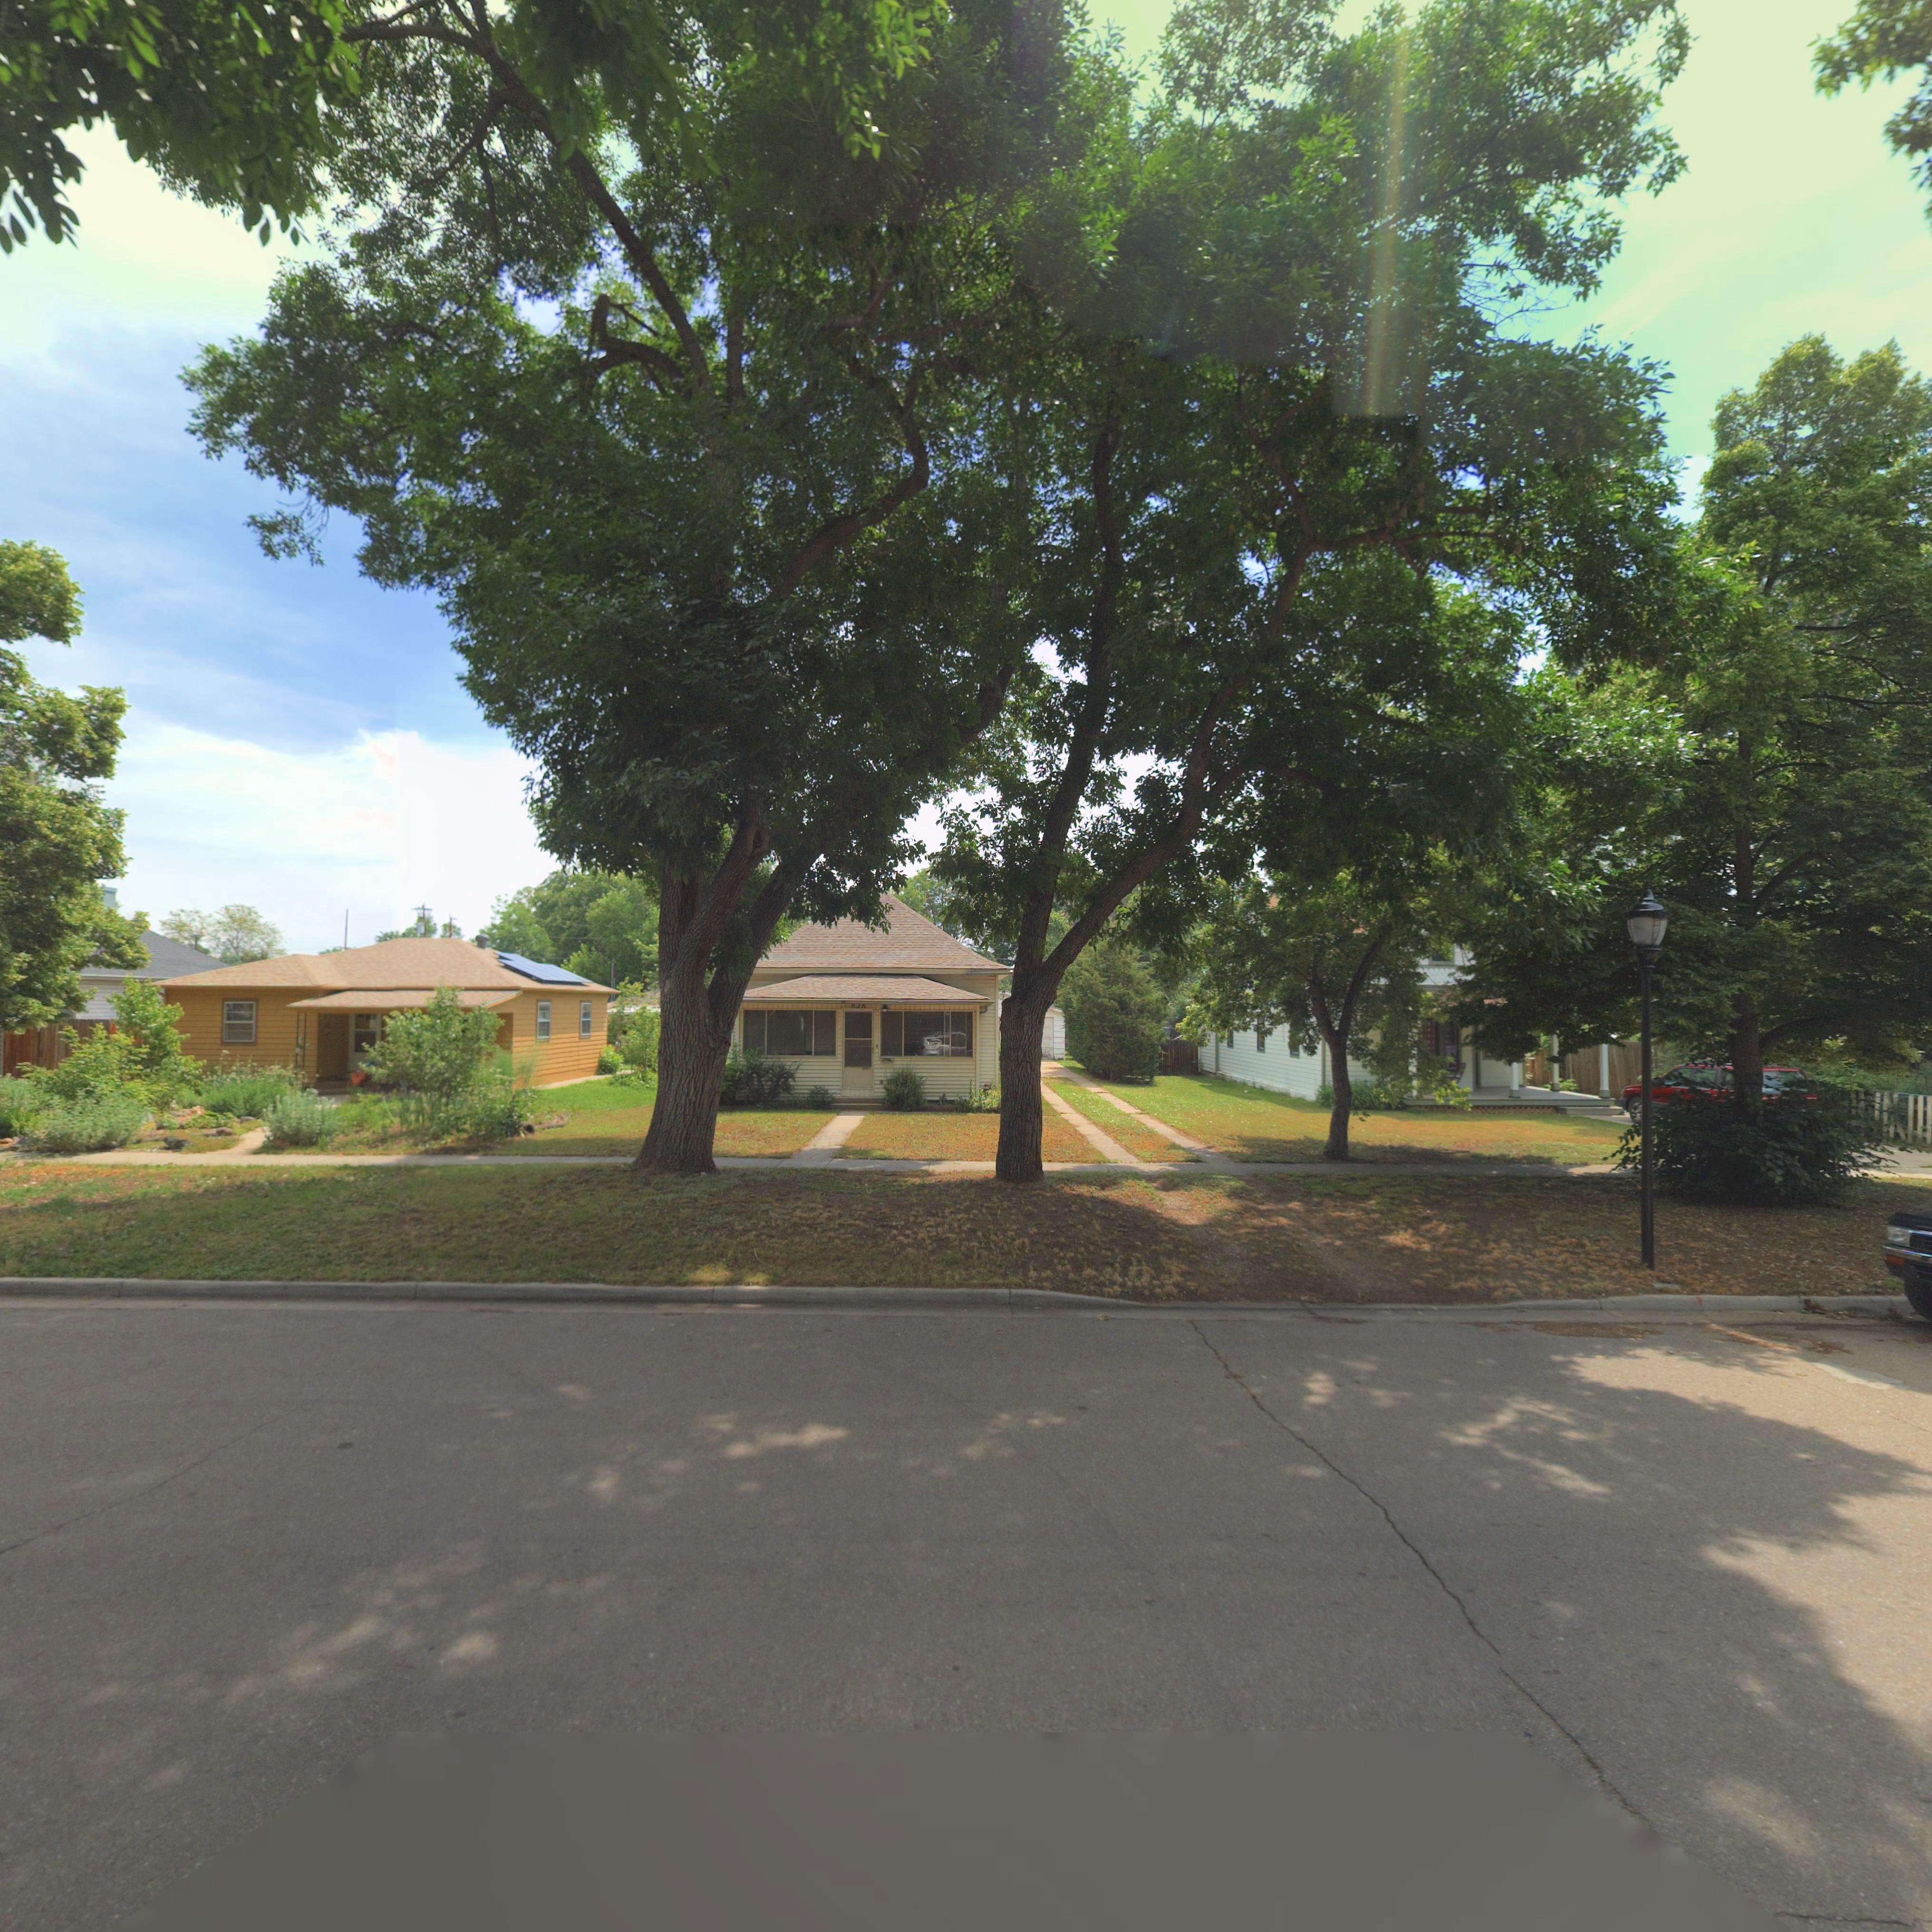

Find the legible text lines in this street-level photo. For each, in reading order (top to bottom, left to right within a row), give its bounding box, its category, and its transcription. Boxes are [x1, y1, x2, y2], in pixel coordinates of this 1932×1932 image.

[851, 1003, 866, 1008] StreetNumber: 828